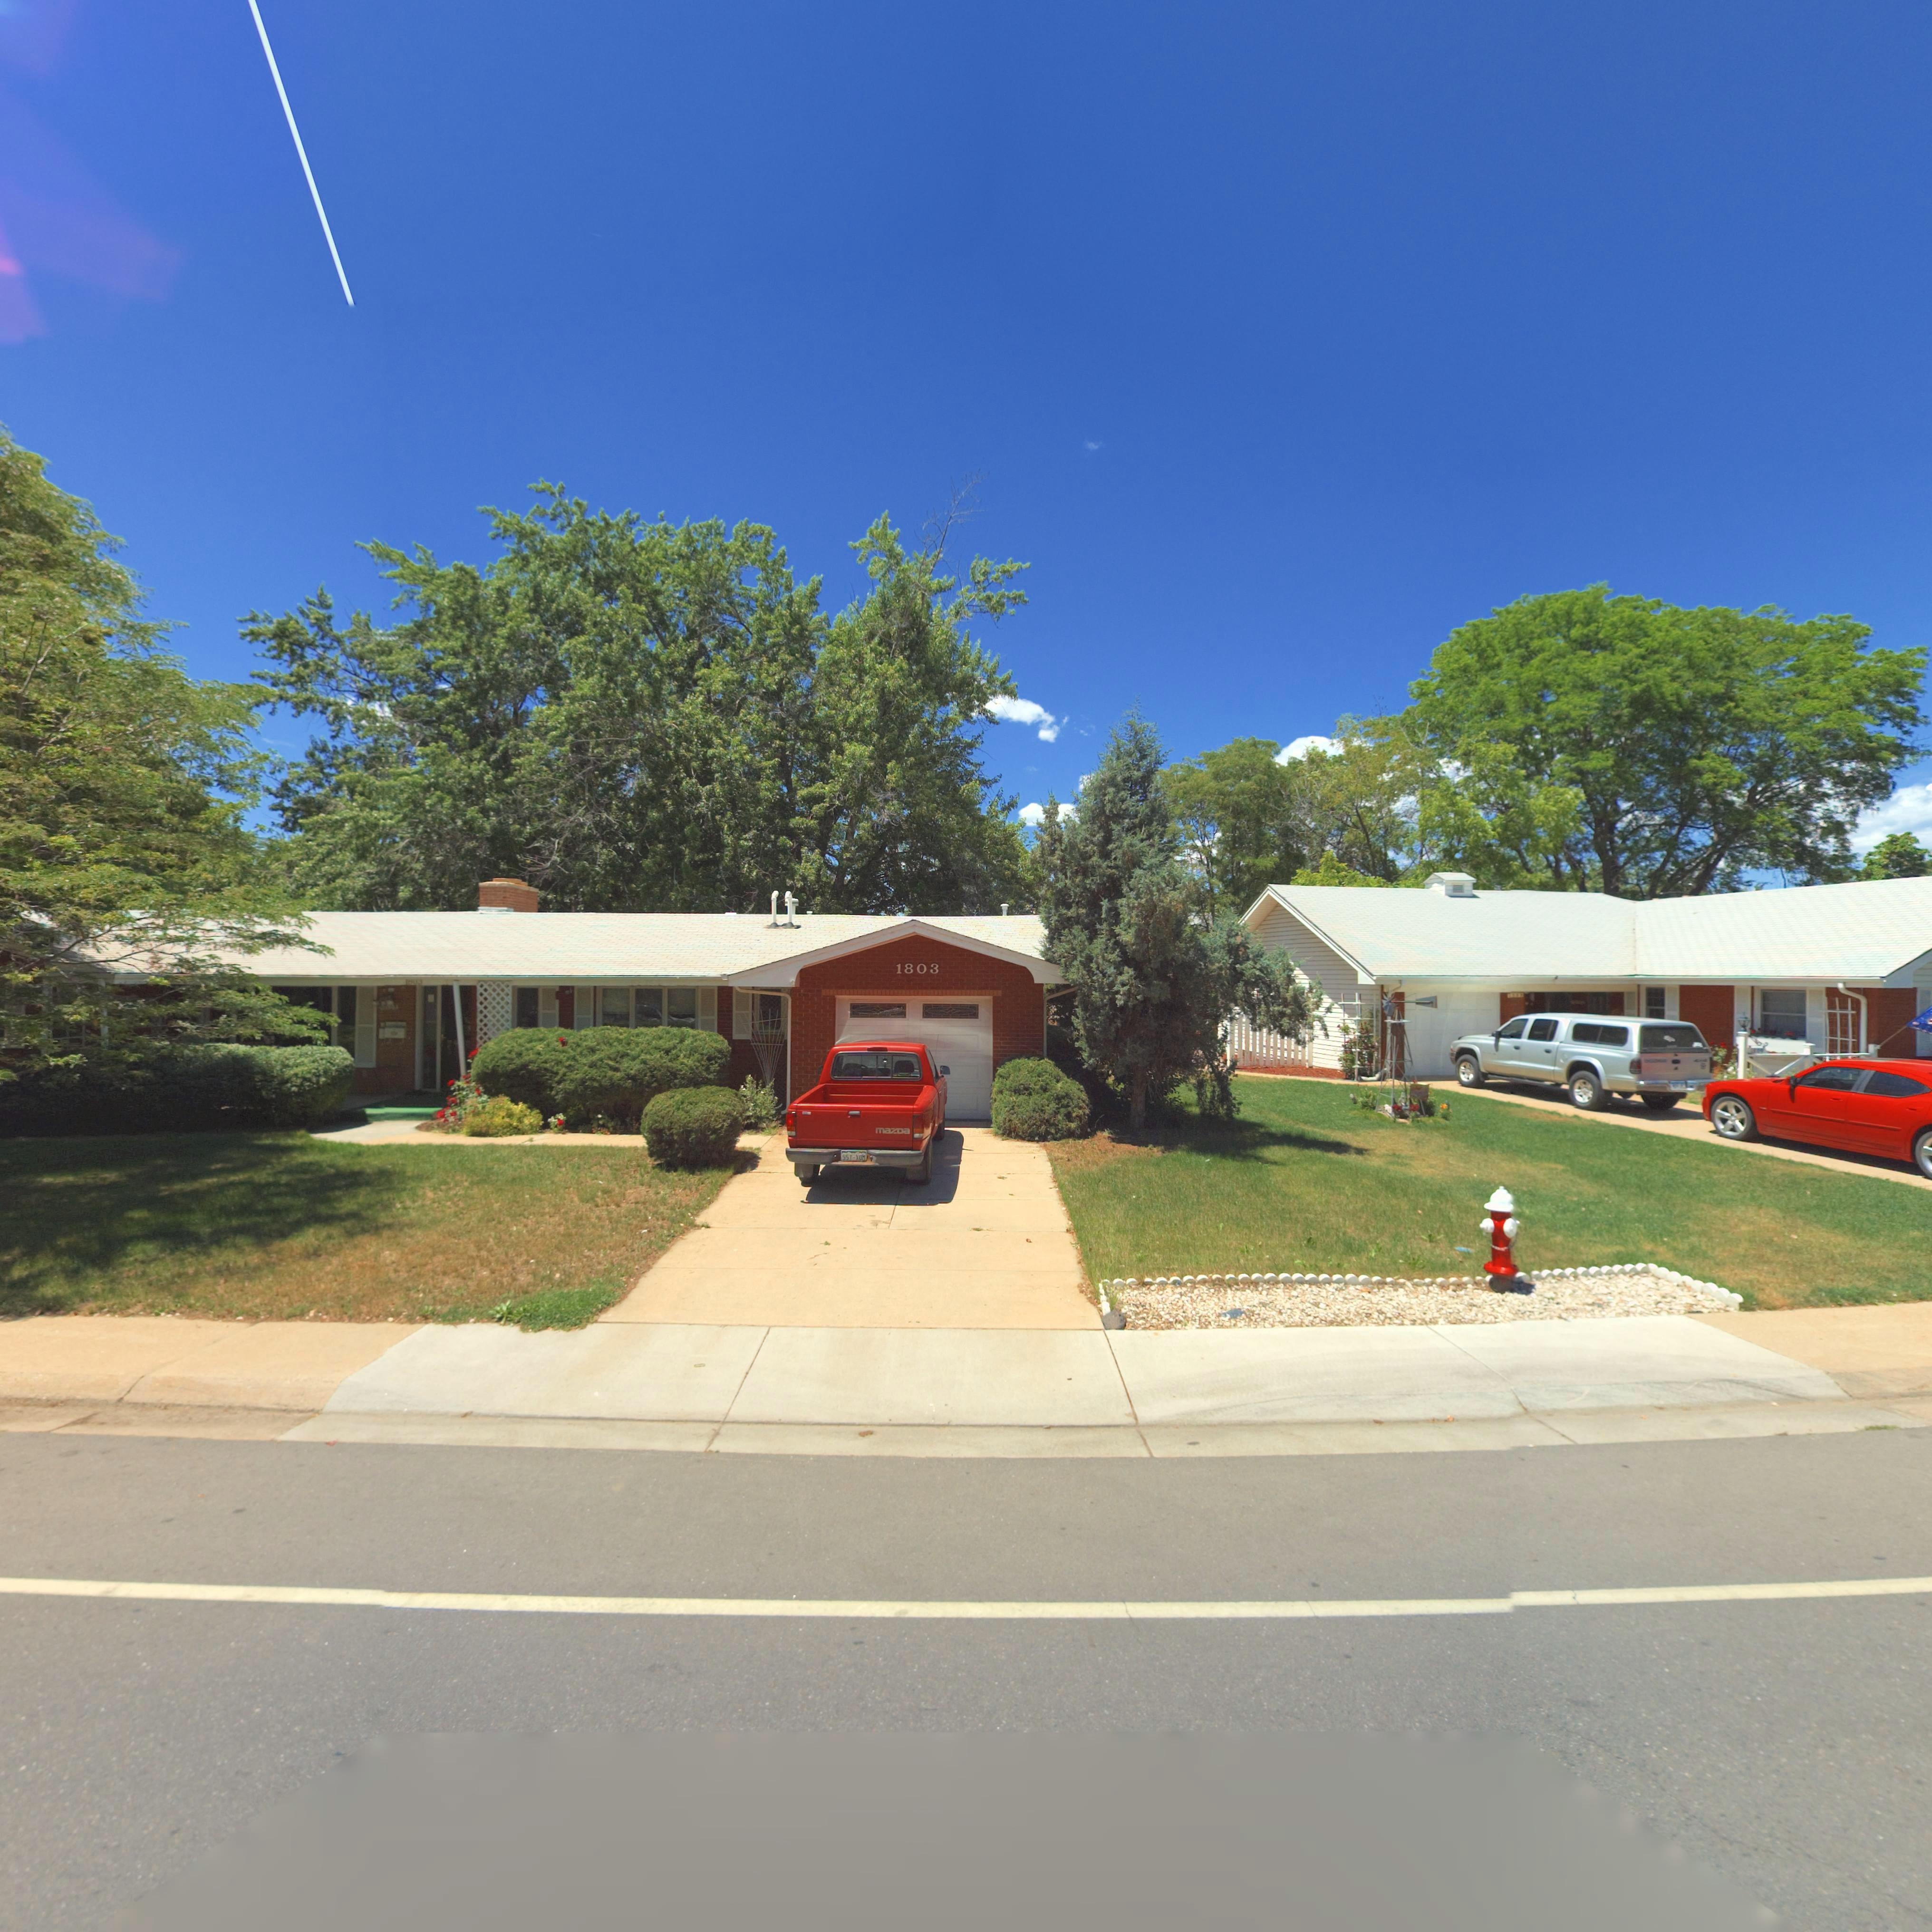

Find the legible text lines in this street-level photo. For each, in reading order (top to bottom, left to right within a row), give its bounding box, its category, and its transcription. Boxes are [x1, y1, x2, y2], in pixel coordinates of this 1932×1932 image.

[895, 963, 939, 974] StreetNumber: 1803
[405, 978, 422, 985] StreetNumber: 1803